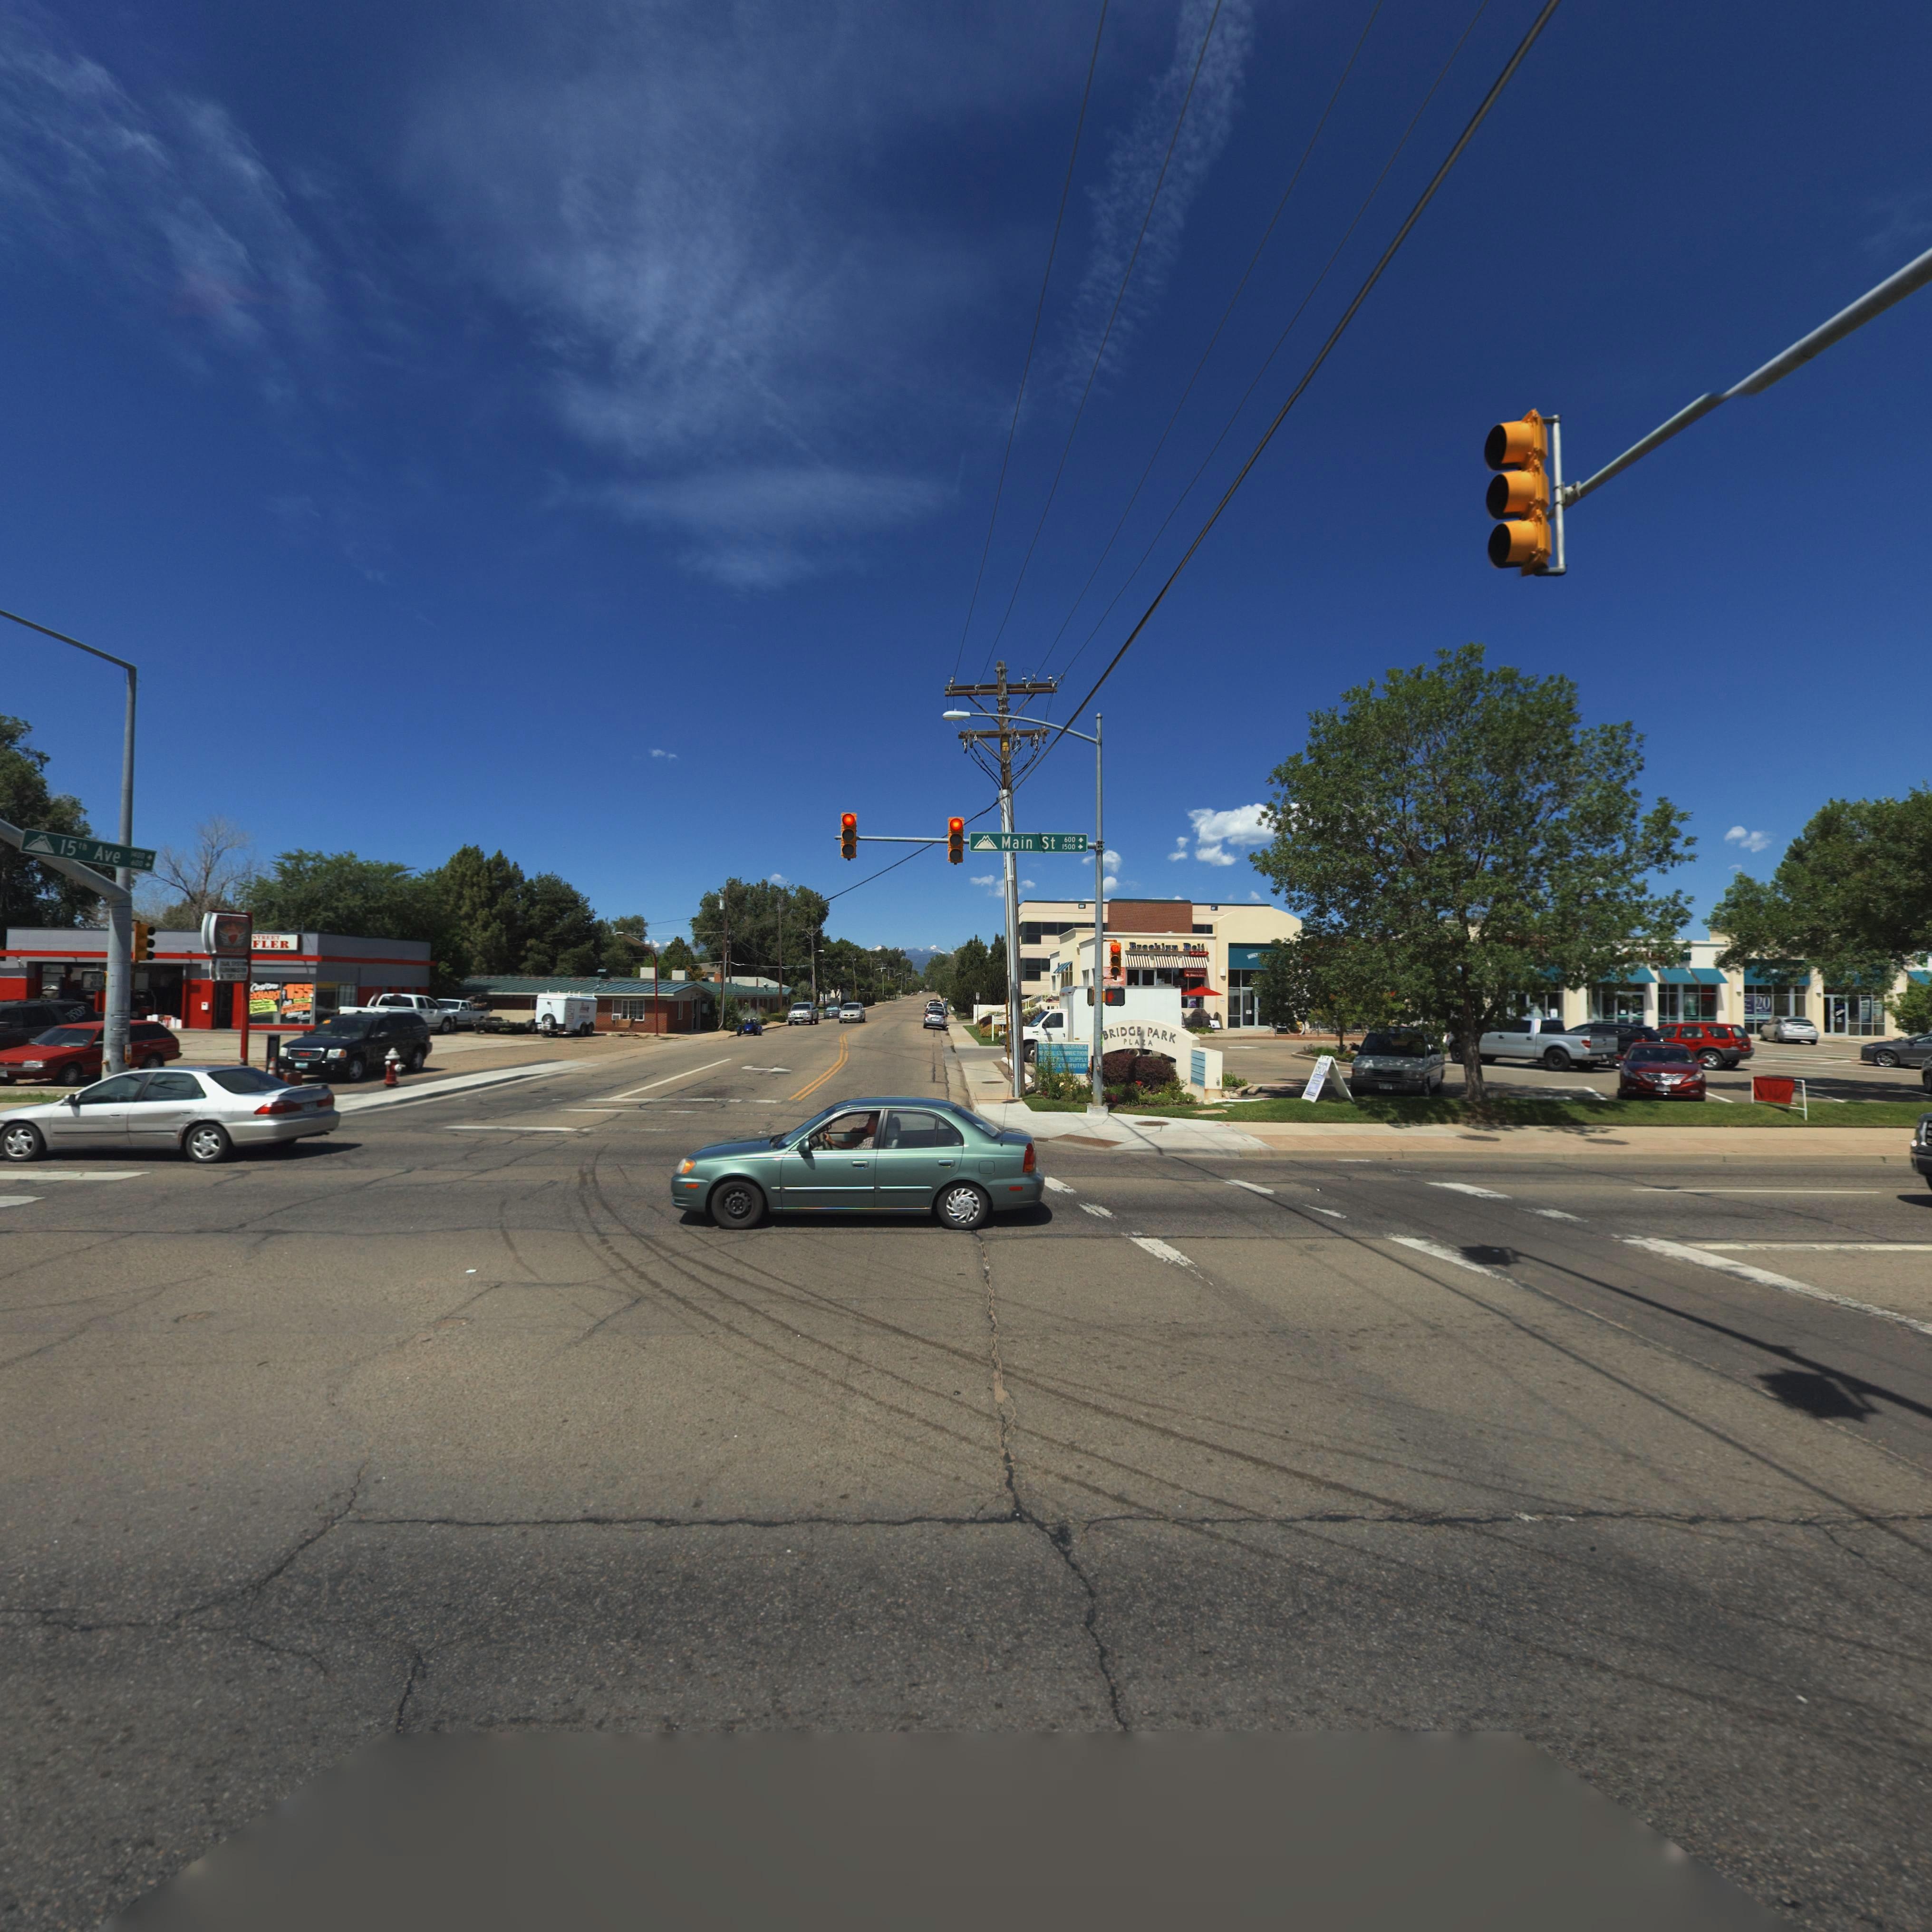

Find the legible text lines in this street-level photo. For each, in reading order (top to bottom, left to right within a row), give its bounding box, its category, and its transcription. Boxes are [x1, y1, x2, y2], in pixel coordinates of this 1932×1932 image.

[60, 838, 121, 864] StreetName: 15th Ave
[131, 850, 145, 860] StreetNumberRange: *400
[1001, 835, 1057, 850] StreetName: Main St
[1063, 836, 1076, 842] StreetNumberRange: 600
[1062, 843, 1084, 850] StreetNumberRange: 1500->
[130, 859, 152, 867] StreetNumberRange: 600->
[252, 934, 281, 940] BusinessName: STREET
[252, 939, 289, 948] BusinessName: FLER
[1129, 941, 1204, 951] BusinessName: Brookl*n Deli